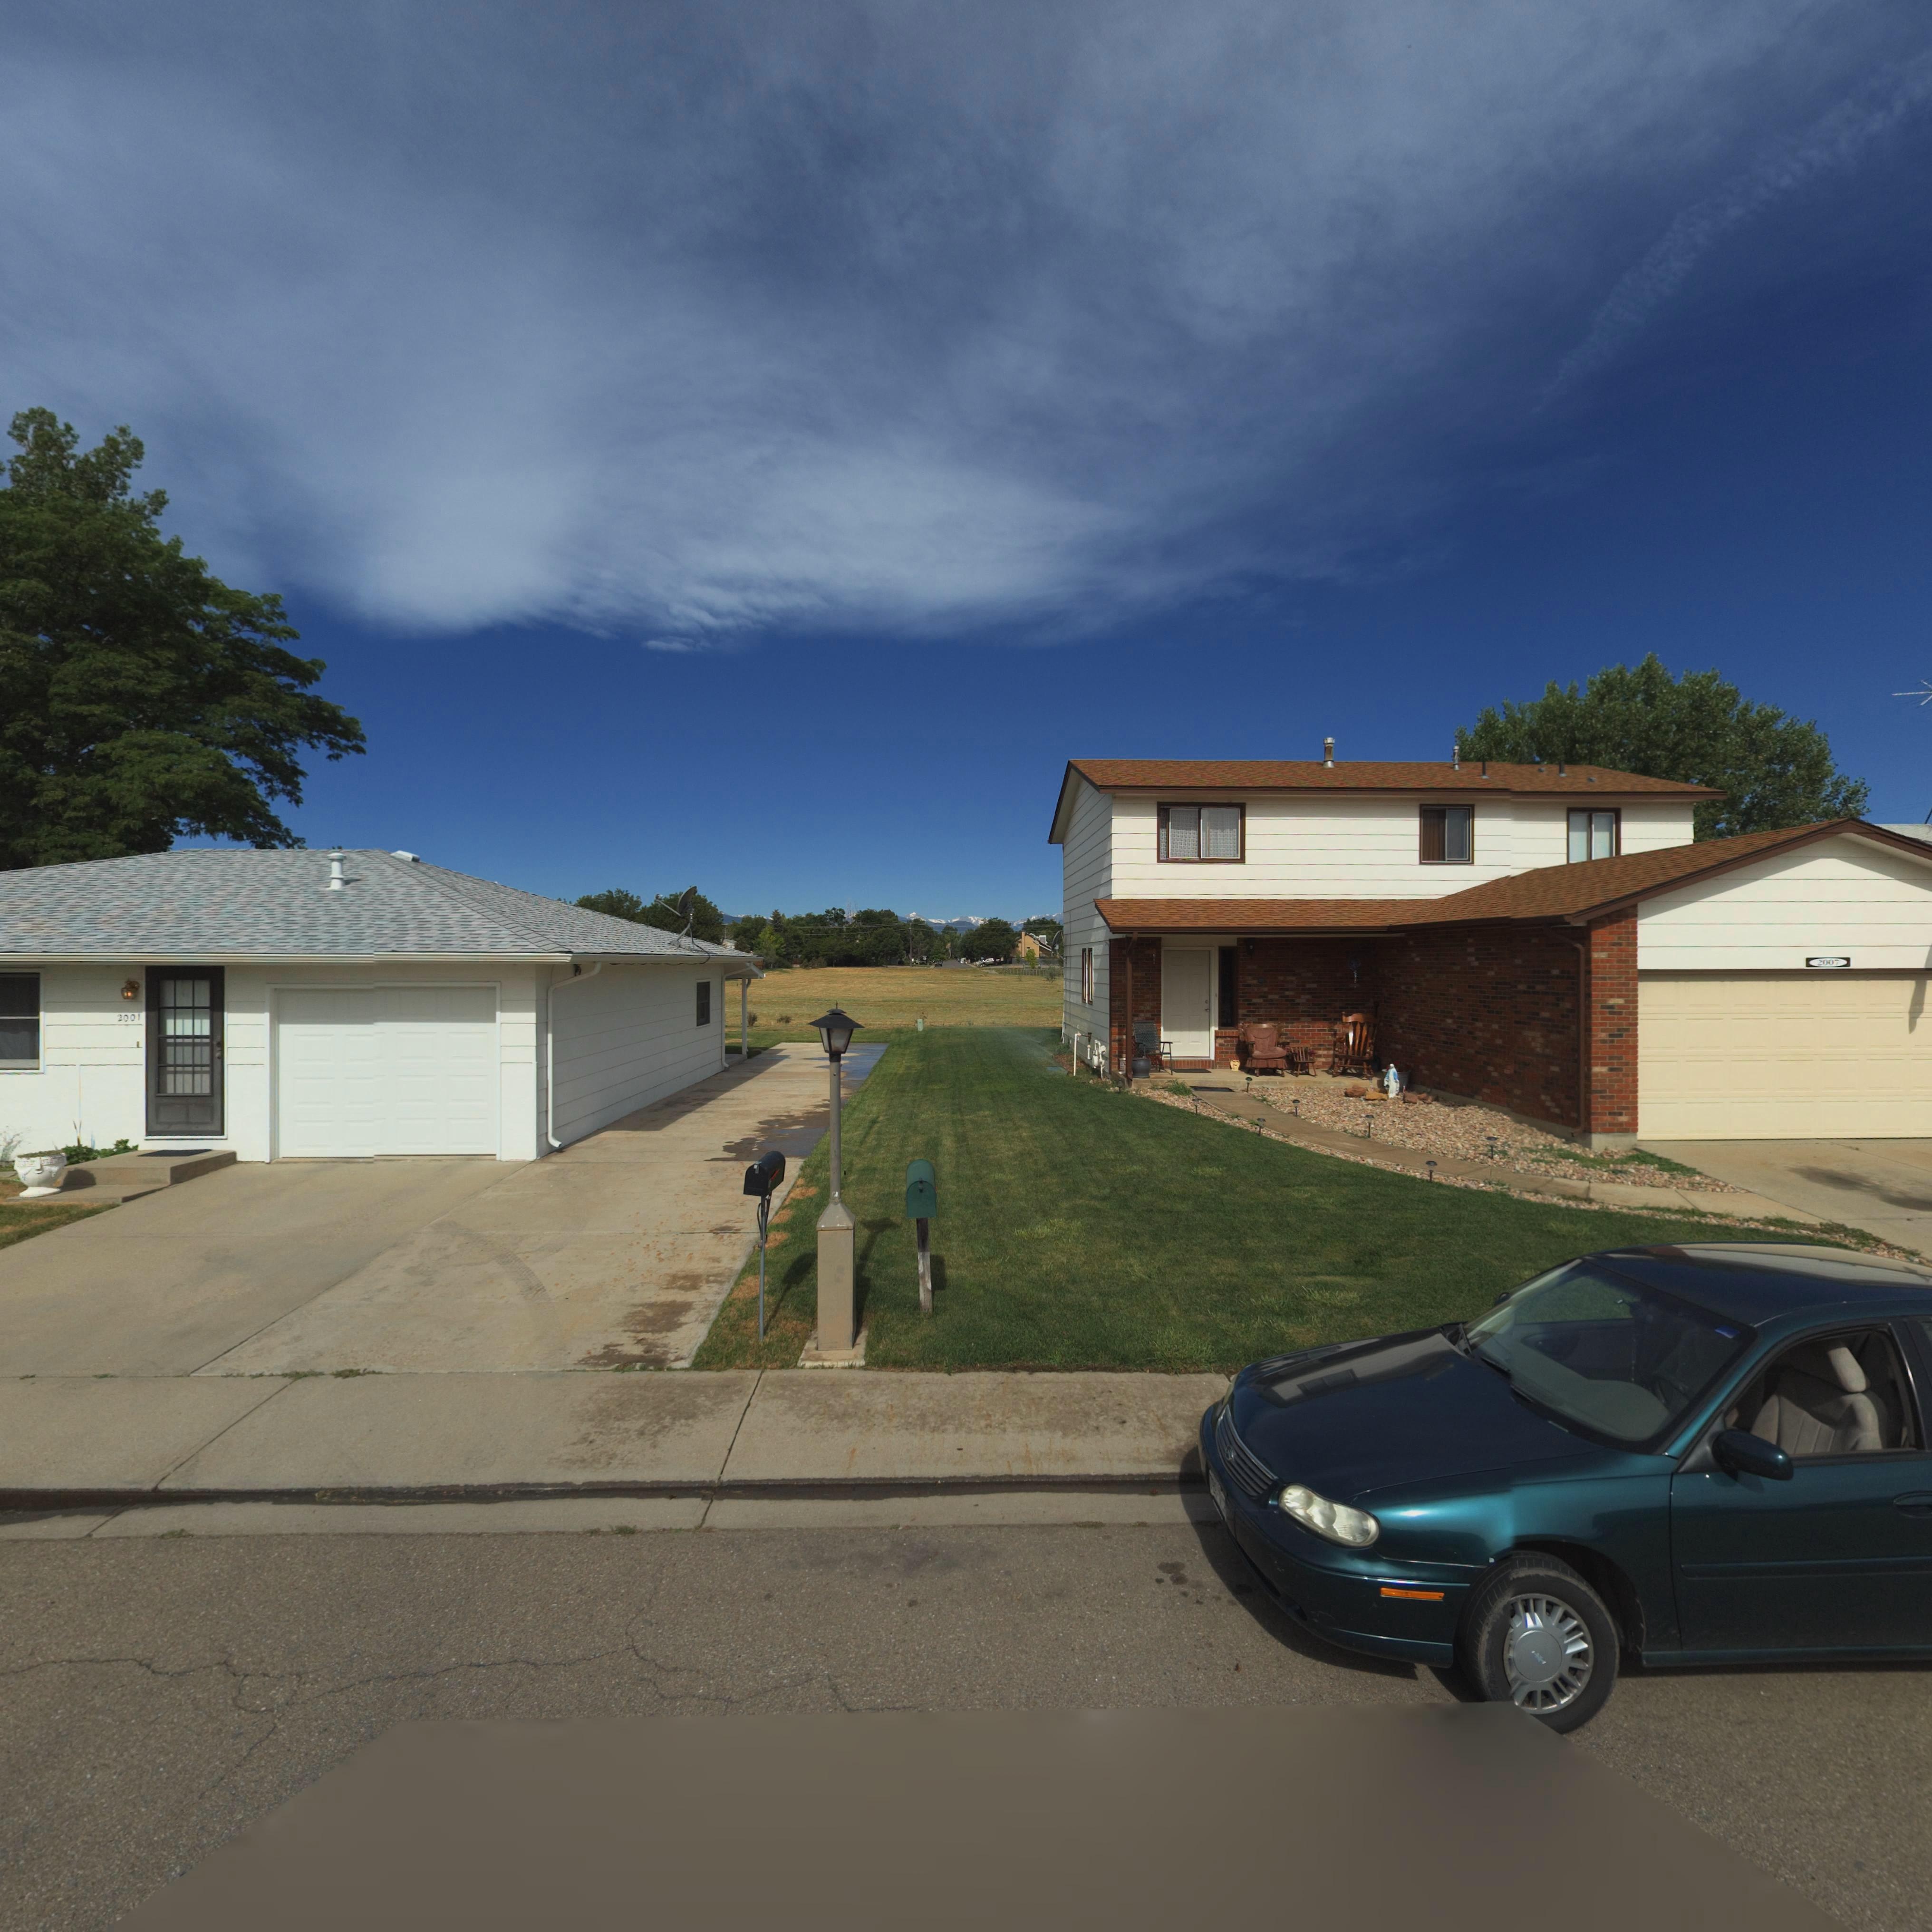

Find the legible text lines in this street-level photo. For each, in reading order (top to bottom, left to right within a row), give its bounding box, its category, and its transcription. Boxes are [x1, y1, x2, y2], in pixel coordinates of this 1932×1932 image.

[1817, 959, 1840, 966] StreetNumber: 2007
[116, 1013, 141, 1022] StreetNumber: 2001